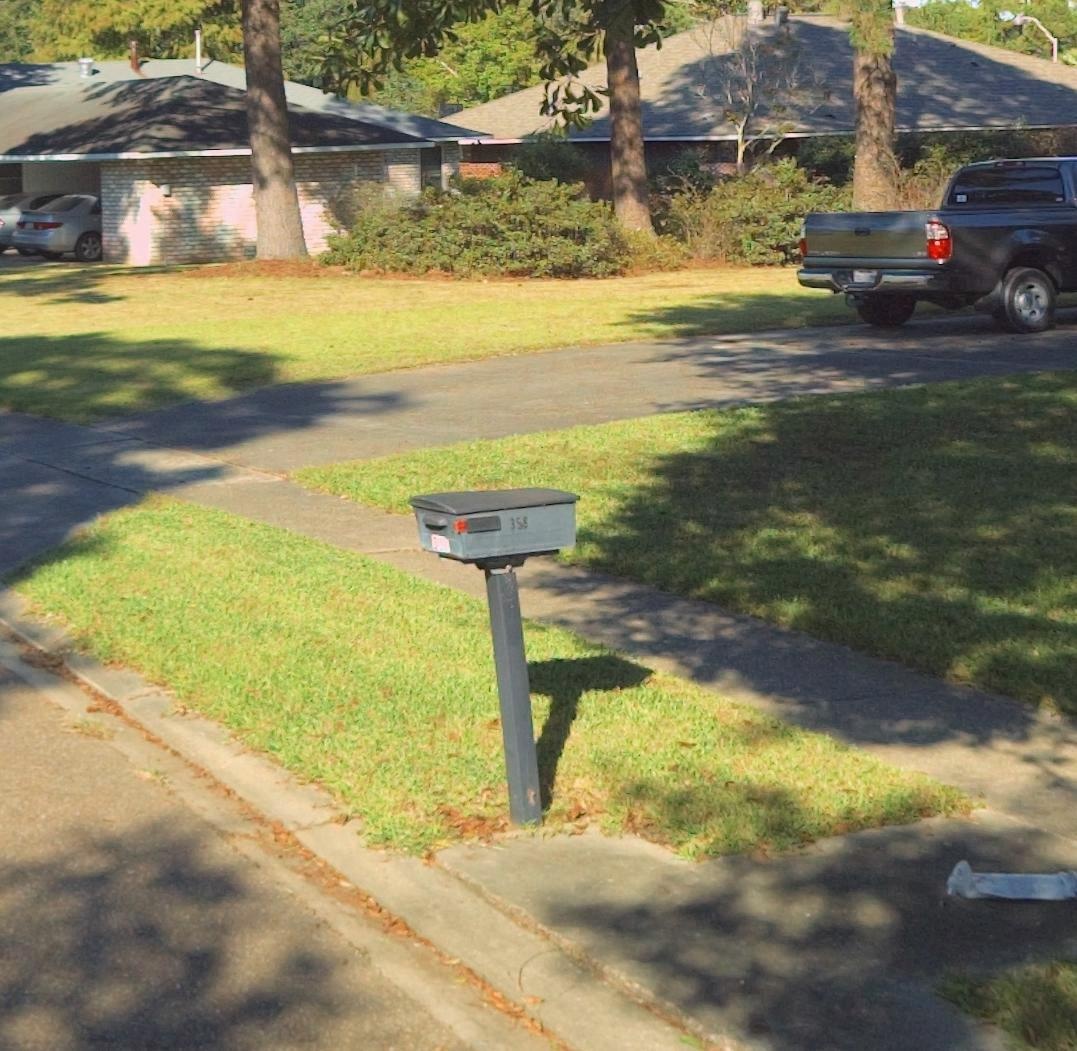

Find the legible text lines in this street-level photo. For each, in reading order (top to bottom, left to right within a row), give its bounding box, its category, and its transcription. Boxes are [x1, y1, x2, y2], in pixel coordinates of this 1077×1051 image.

[507, 512, 531, 534] StreetNumber: 358